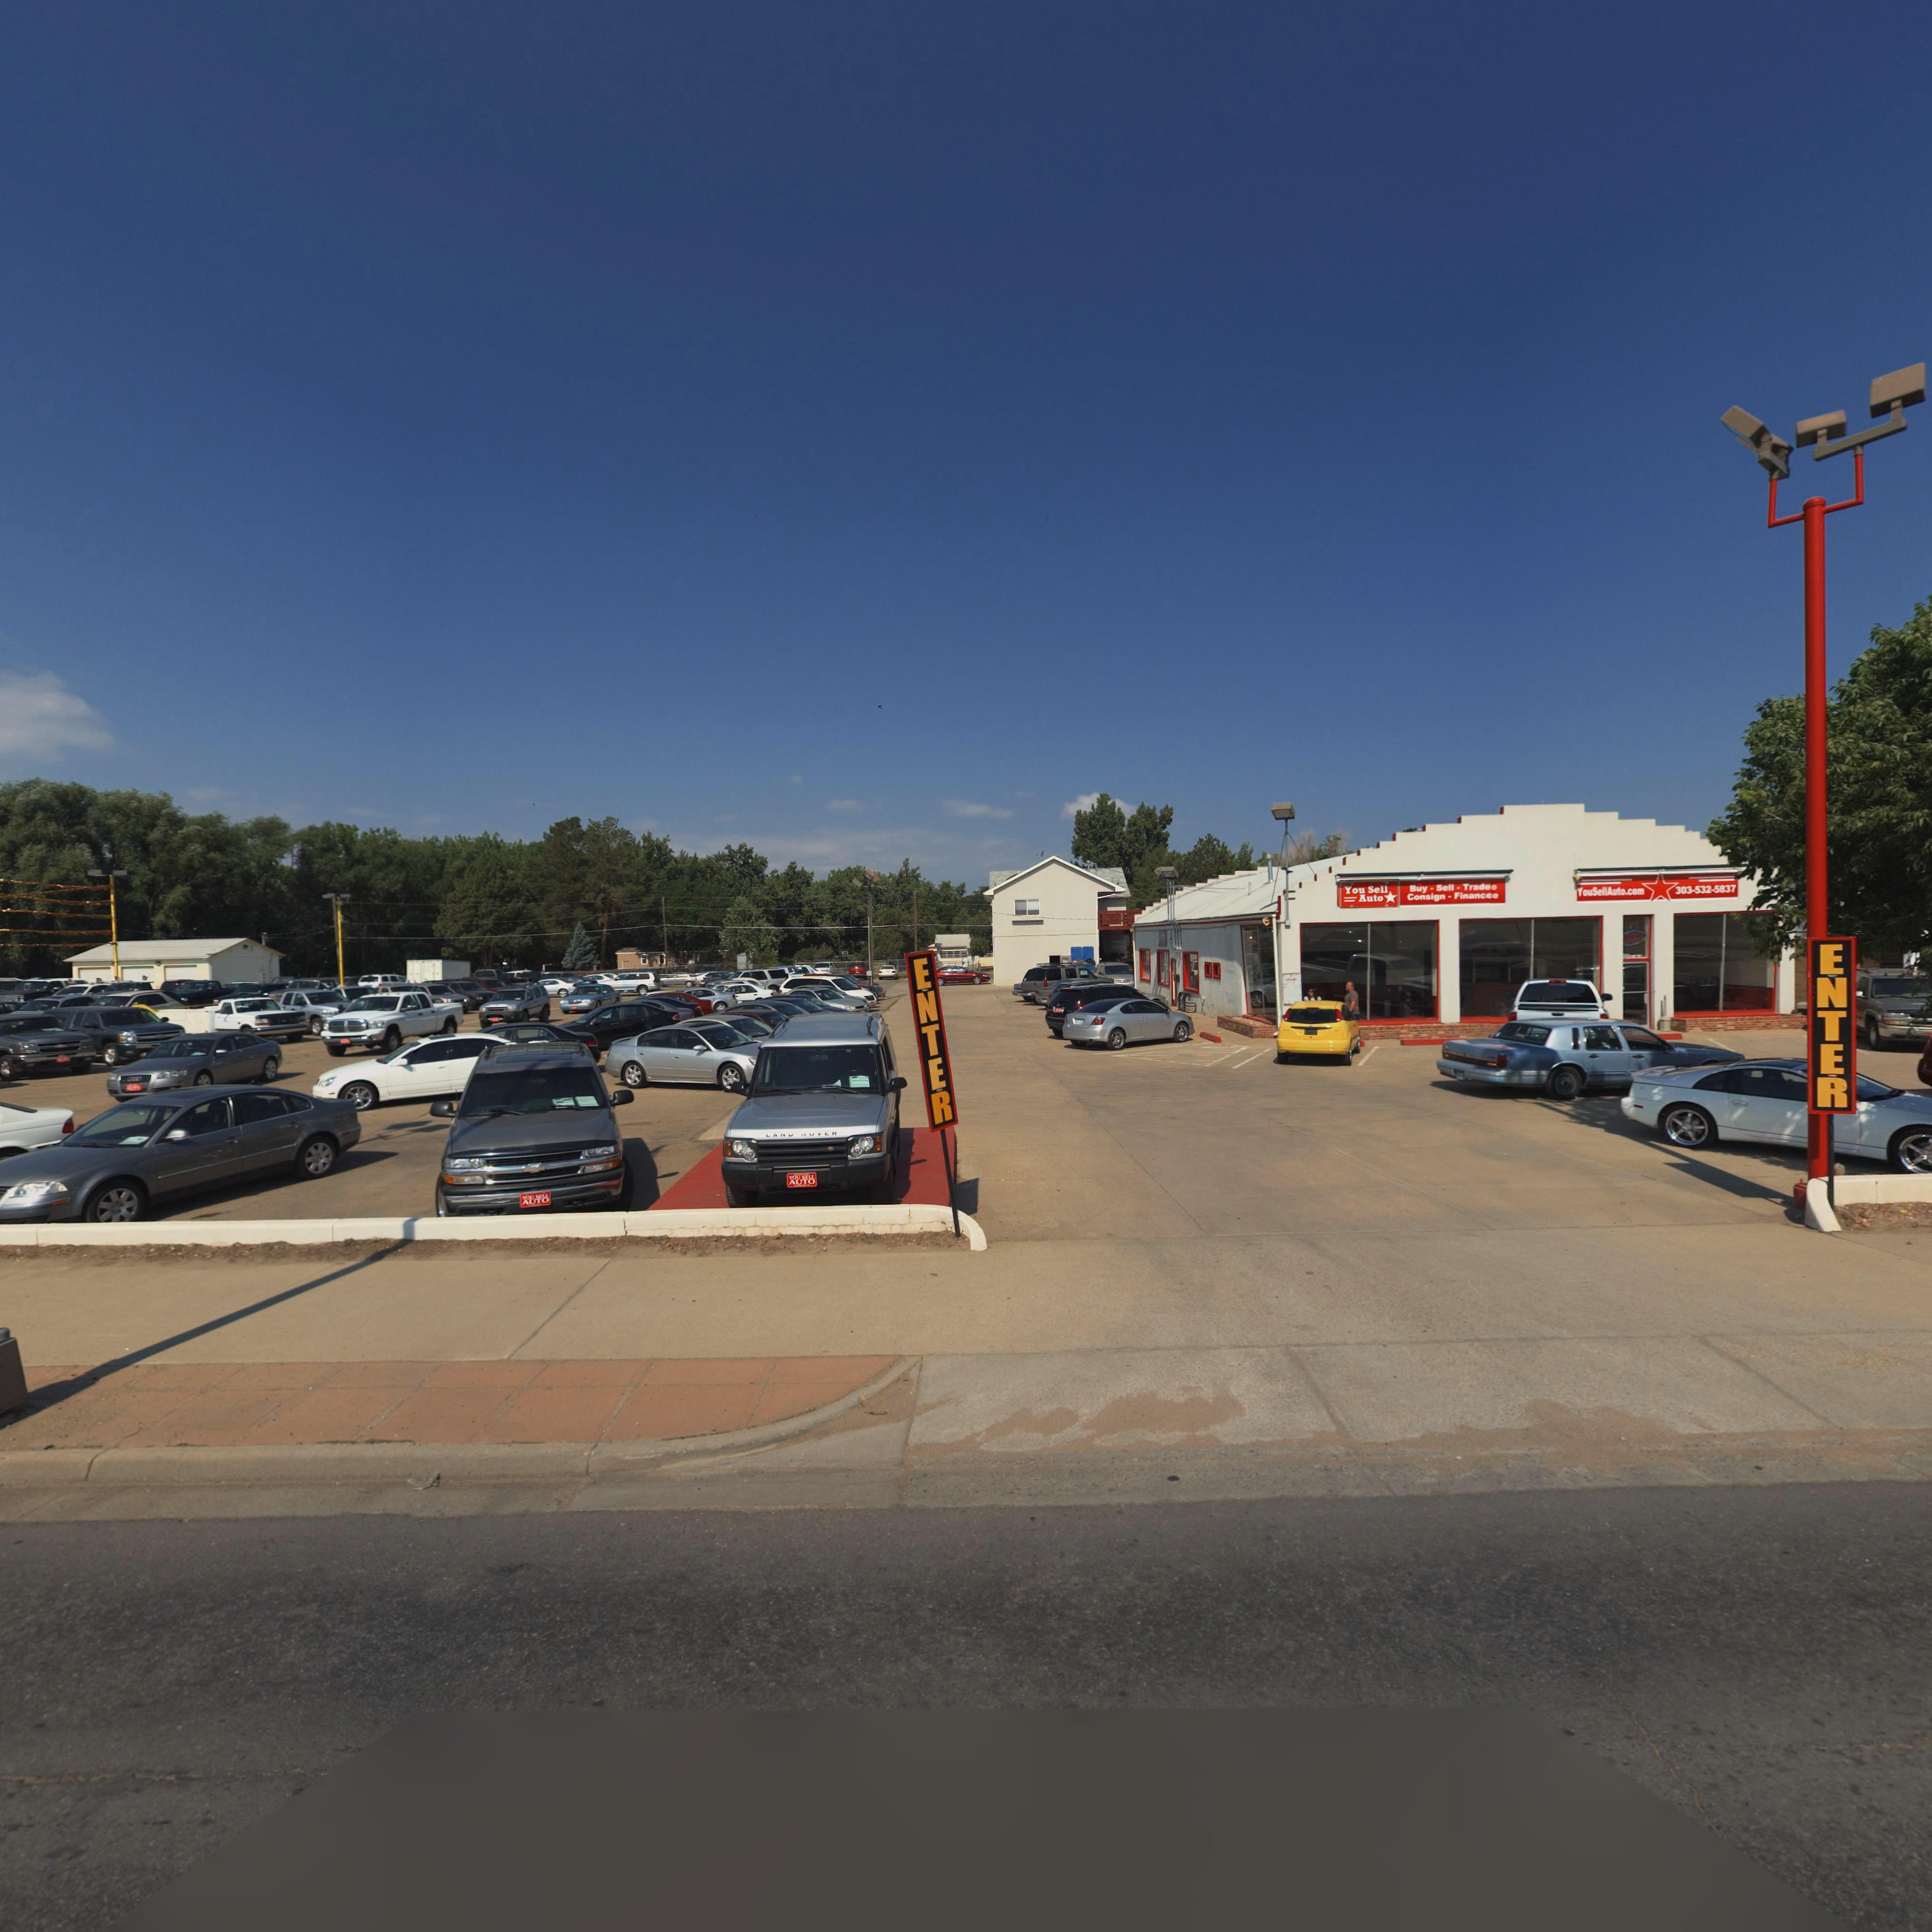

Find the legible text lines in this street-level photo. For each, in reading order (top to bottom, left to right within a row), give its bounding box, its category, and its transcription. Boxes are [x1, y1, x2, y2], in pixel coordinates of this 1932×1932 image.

[1344, 885, 1388, 894] BusinessName: You Sell
[1359, 894, 1383, 902] BusinessName: Auto